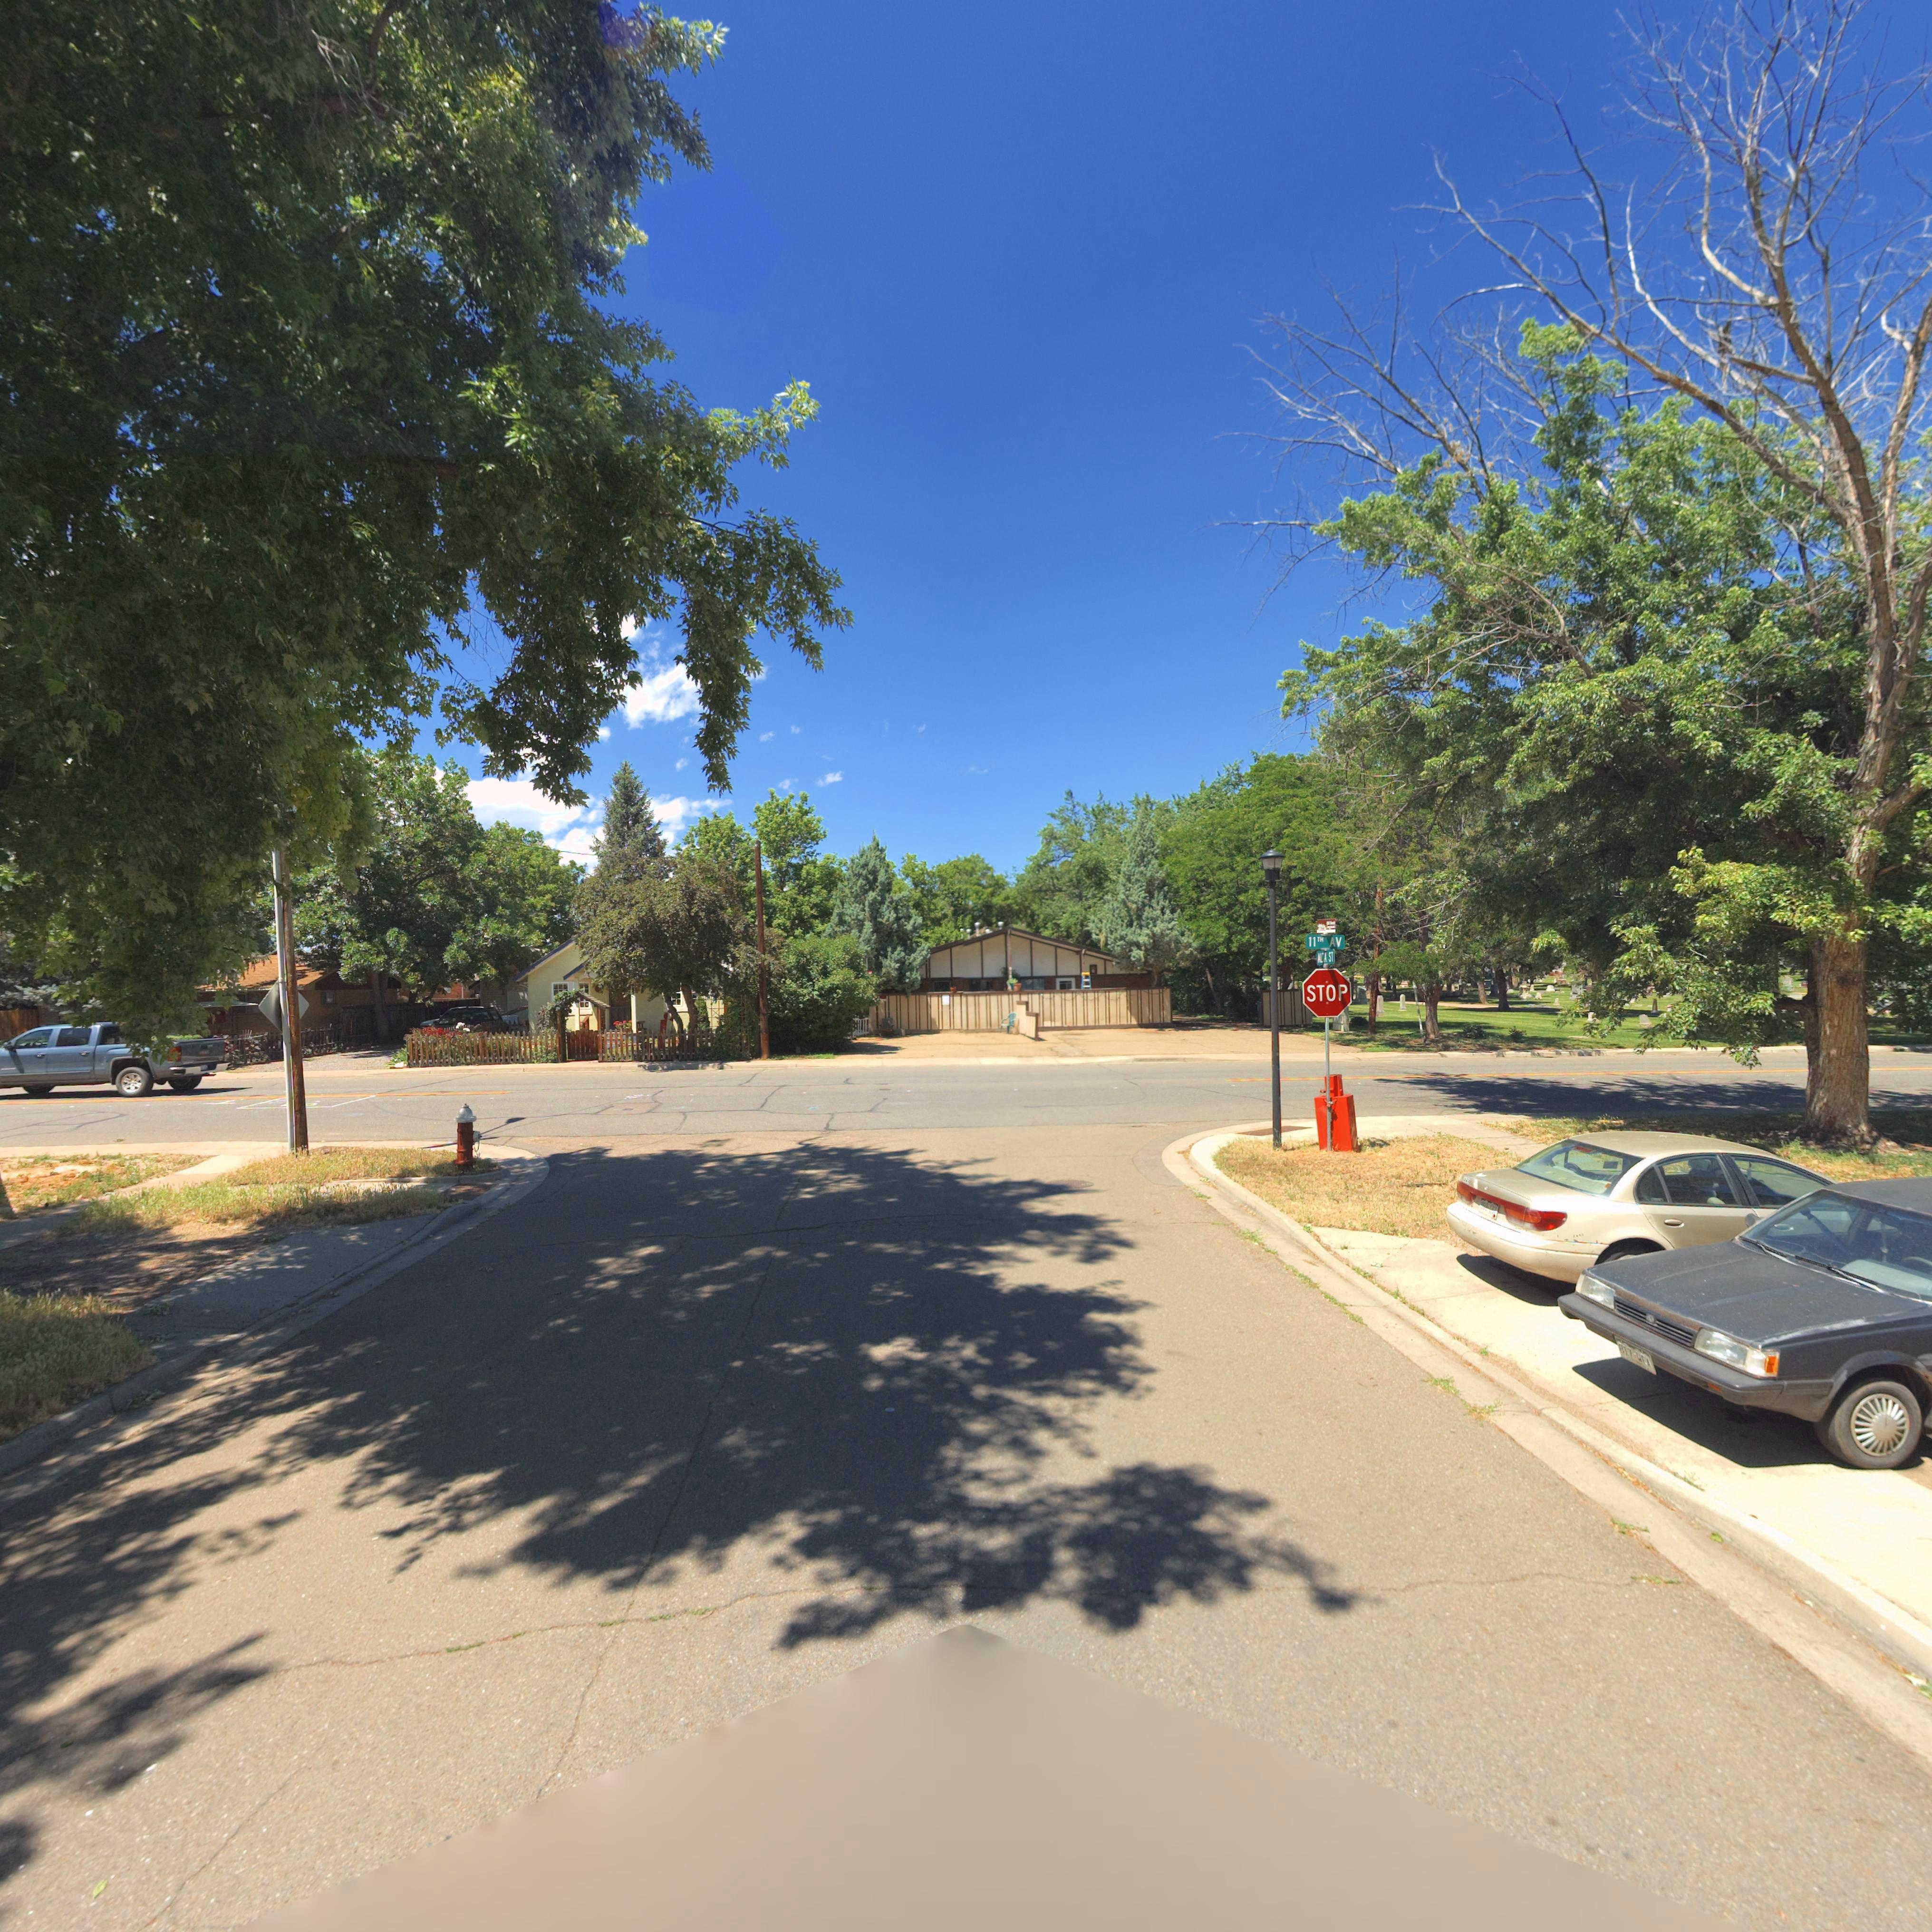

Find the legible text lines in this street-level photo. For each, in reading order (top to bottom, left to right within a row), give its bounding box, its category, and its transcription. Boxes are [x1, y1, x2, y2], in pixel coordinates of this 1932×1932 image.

[1308, 936, 1343, 947] StreetName: 11TH AV
[1317, 950, 1334, 964] StreetName: ALTA ST
[1306, 984, 1348, 1001] BusinessName: STOP